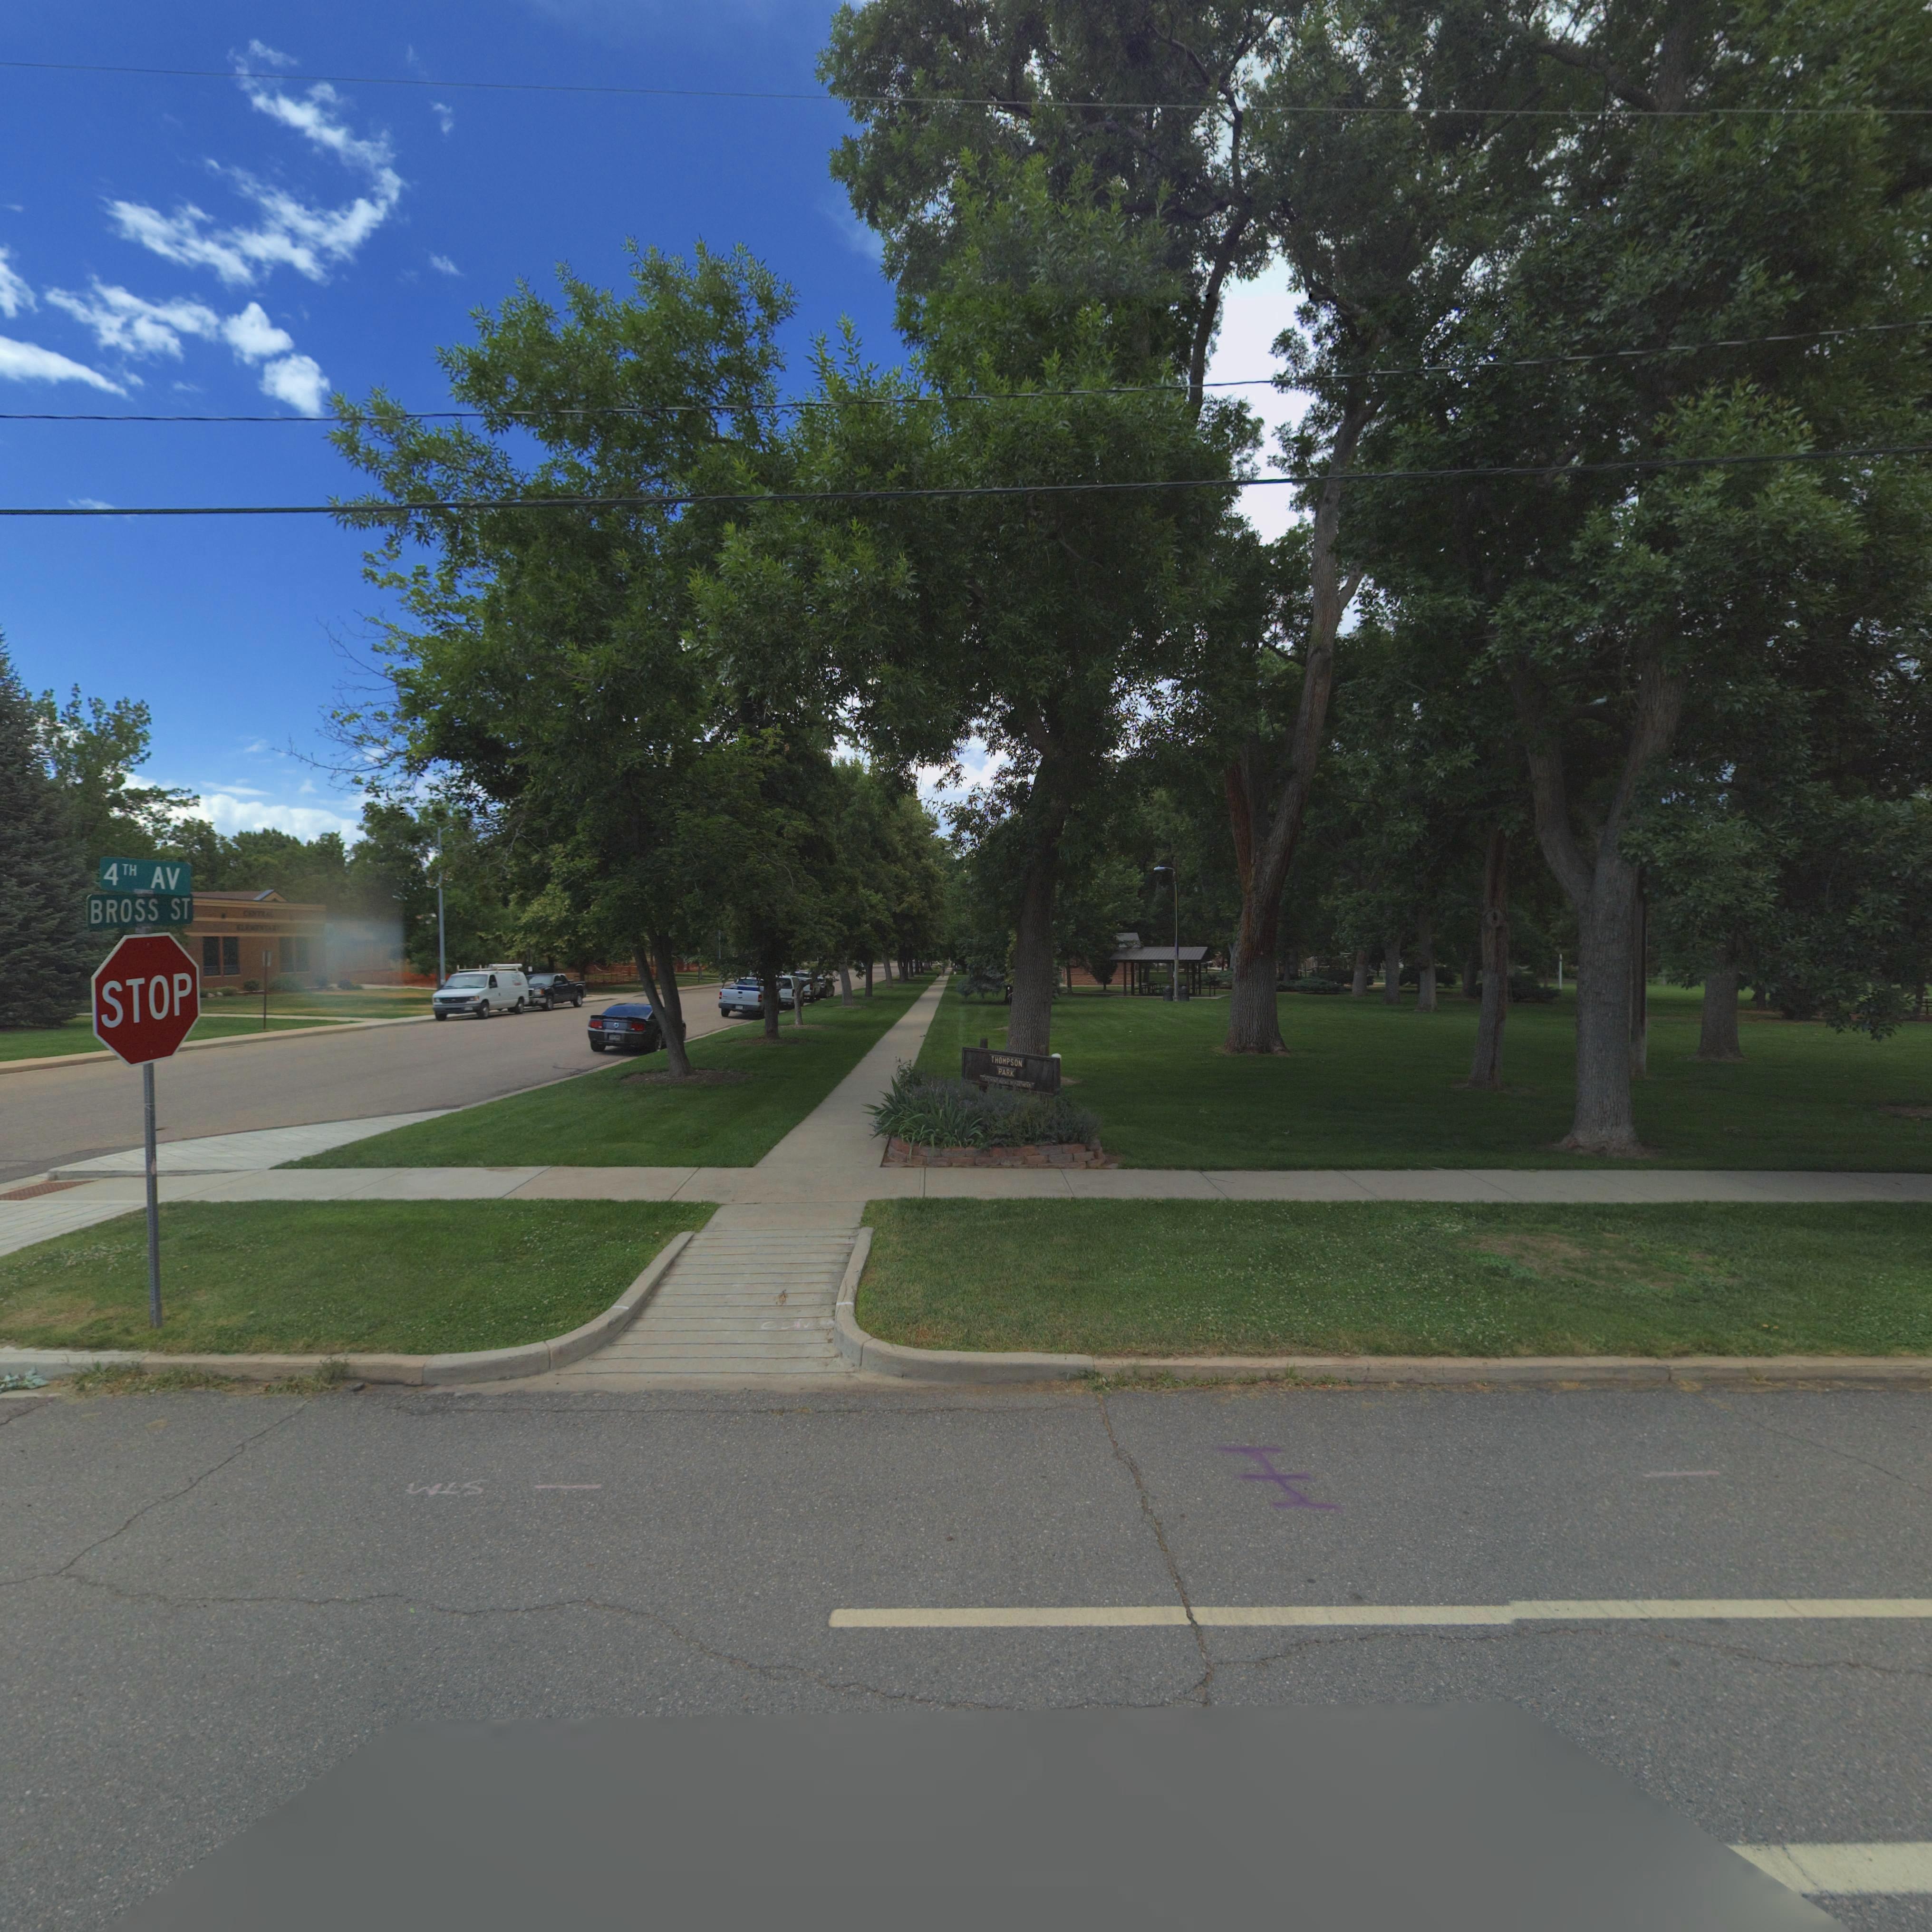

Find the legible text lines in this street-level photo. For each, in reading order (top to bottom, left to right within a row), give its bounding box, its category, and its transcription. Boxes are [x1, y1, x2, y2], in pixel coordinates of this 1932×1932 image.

[102, 862, 181, 890] StreetName: 4TH AV
[90, 897, 191, 924] StreetName: BROSS ST